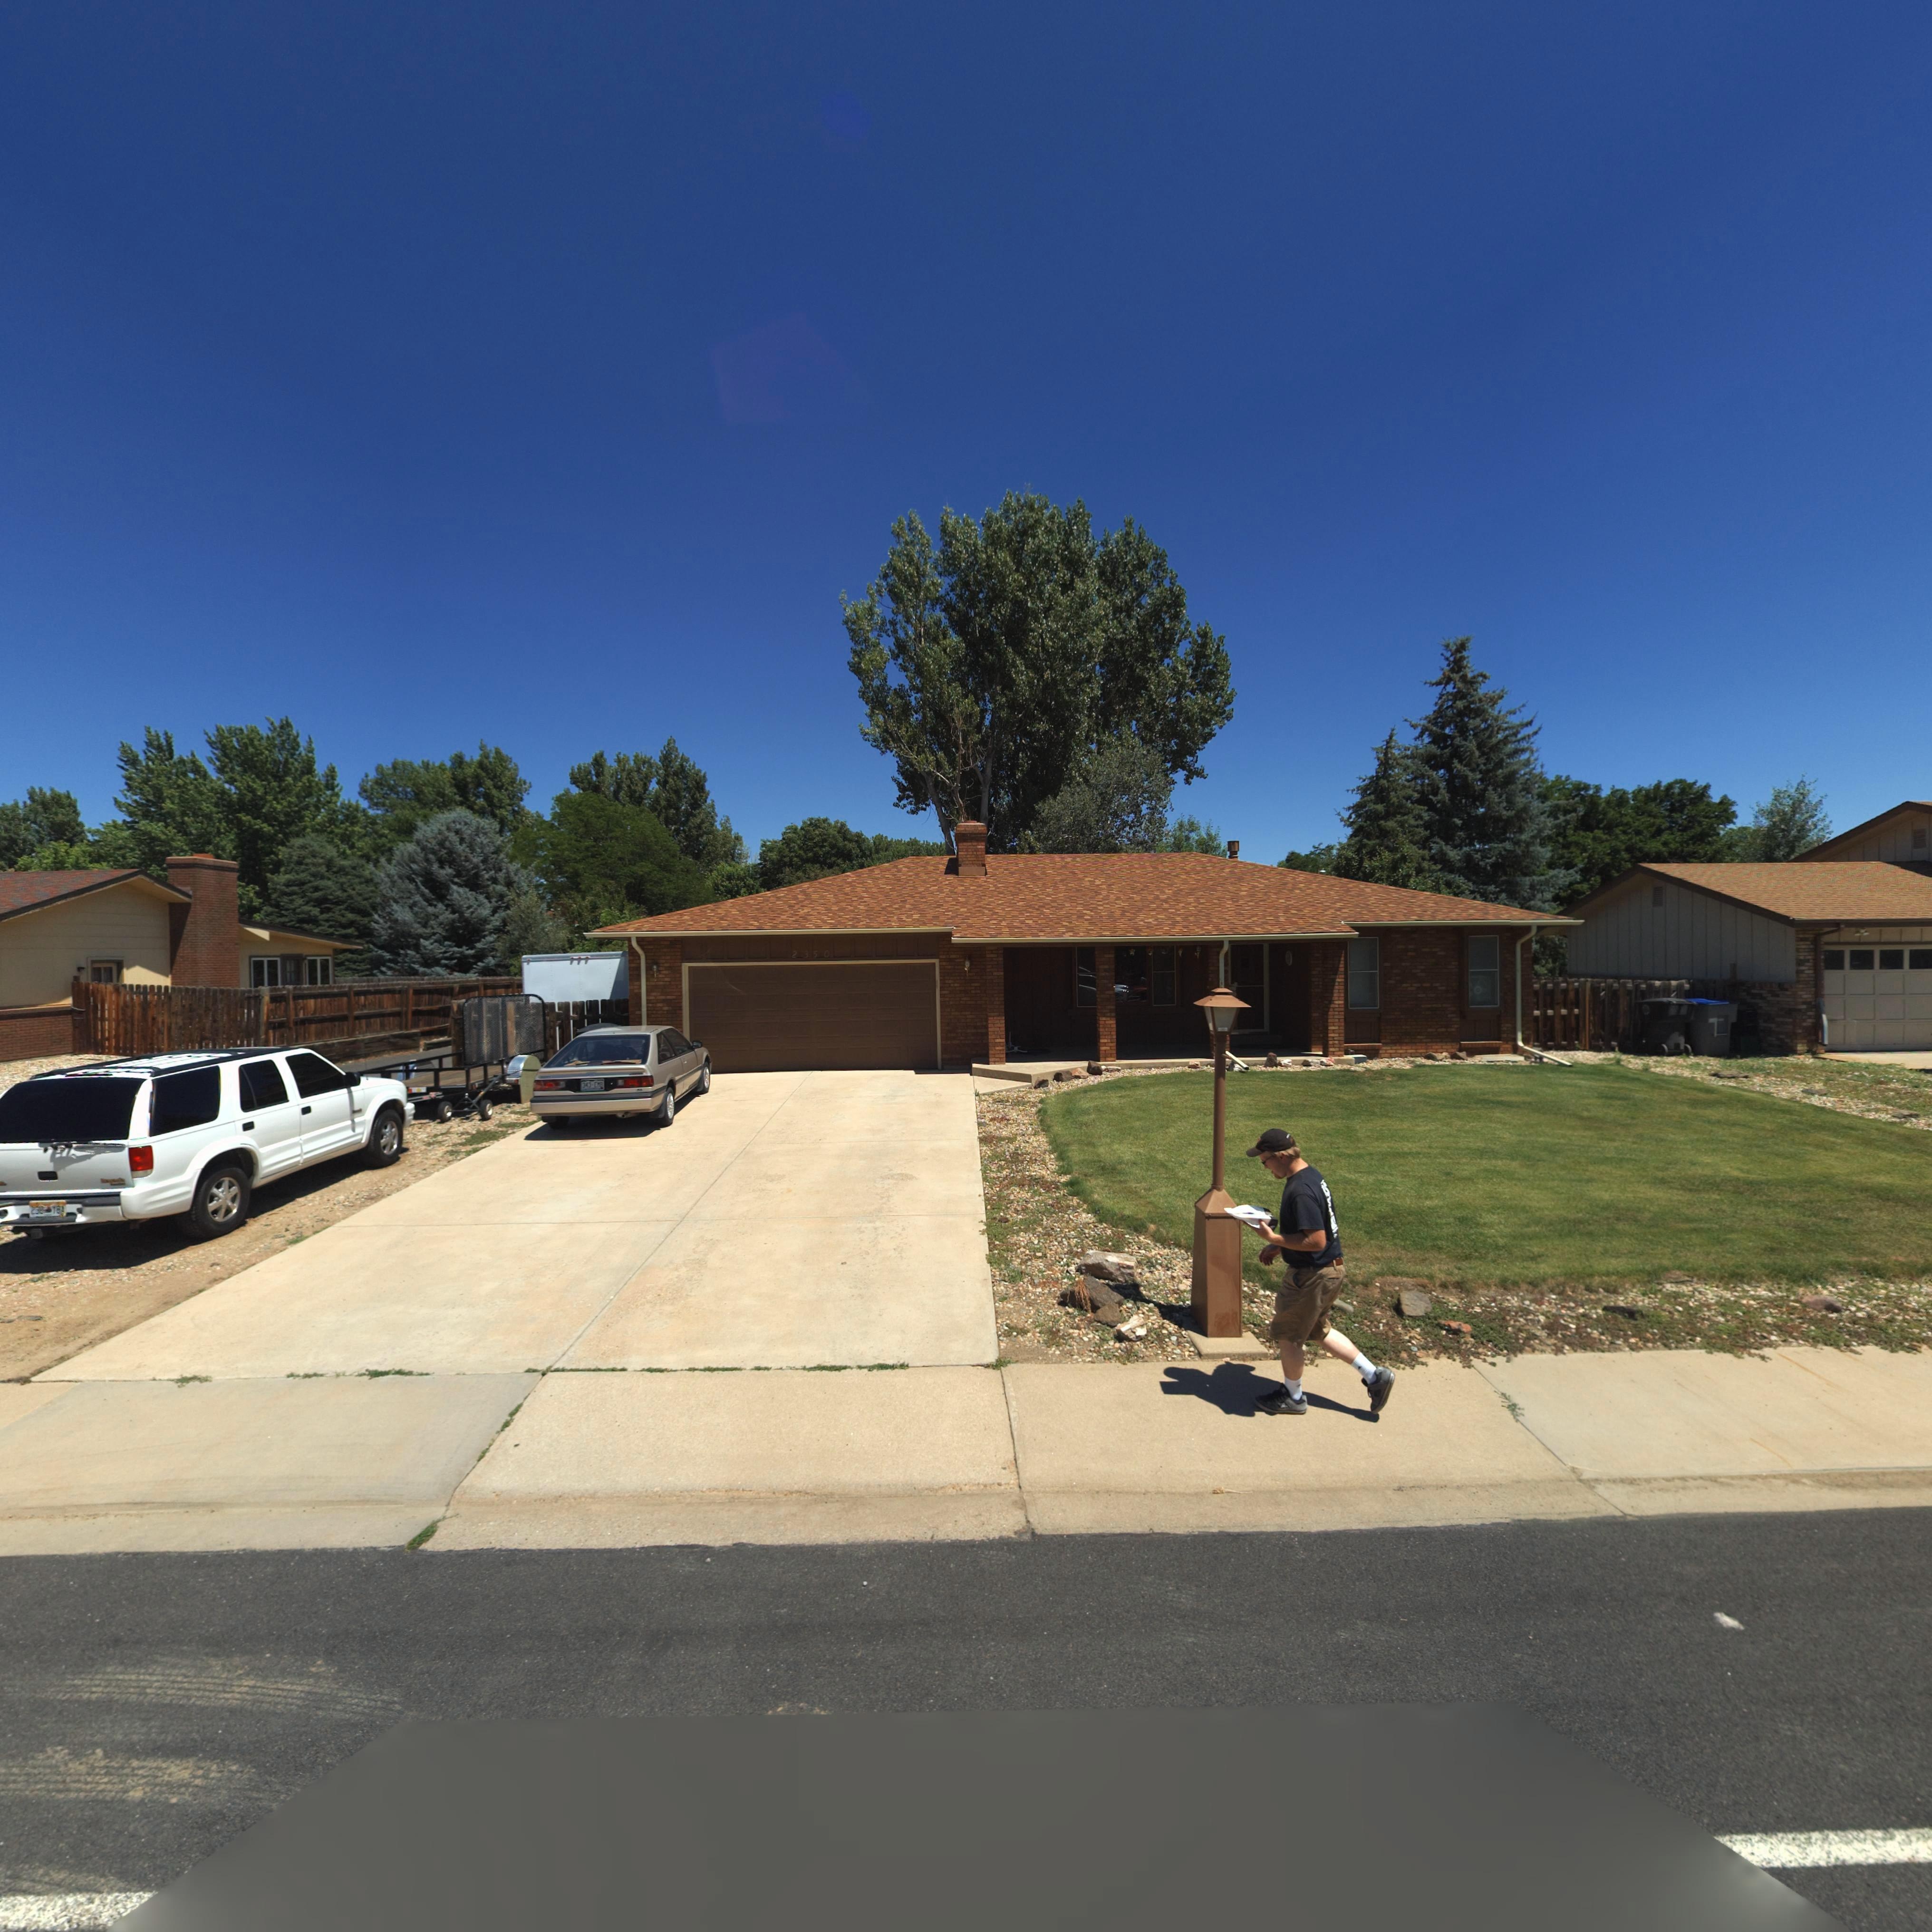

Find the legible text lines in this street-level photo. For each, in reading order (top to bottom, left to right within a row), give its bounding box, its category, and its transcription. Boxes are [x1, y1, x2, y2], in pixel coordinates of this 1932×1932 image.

[792, 950, 830, 958] StreetNumber: 2350